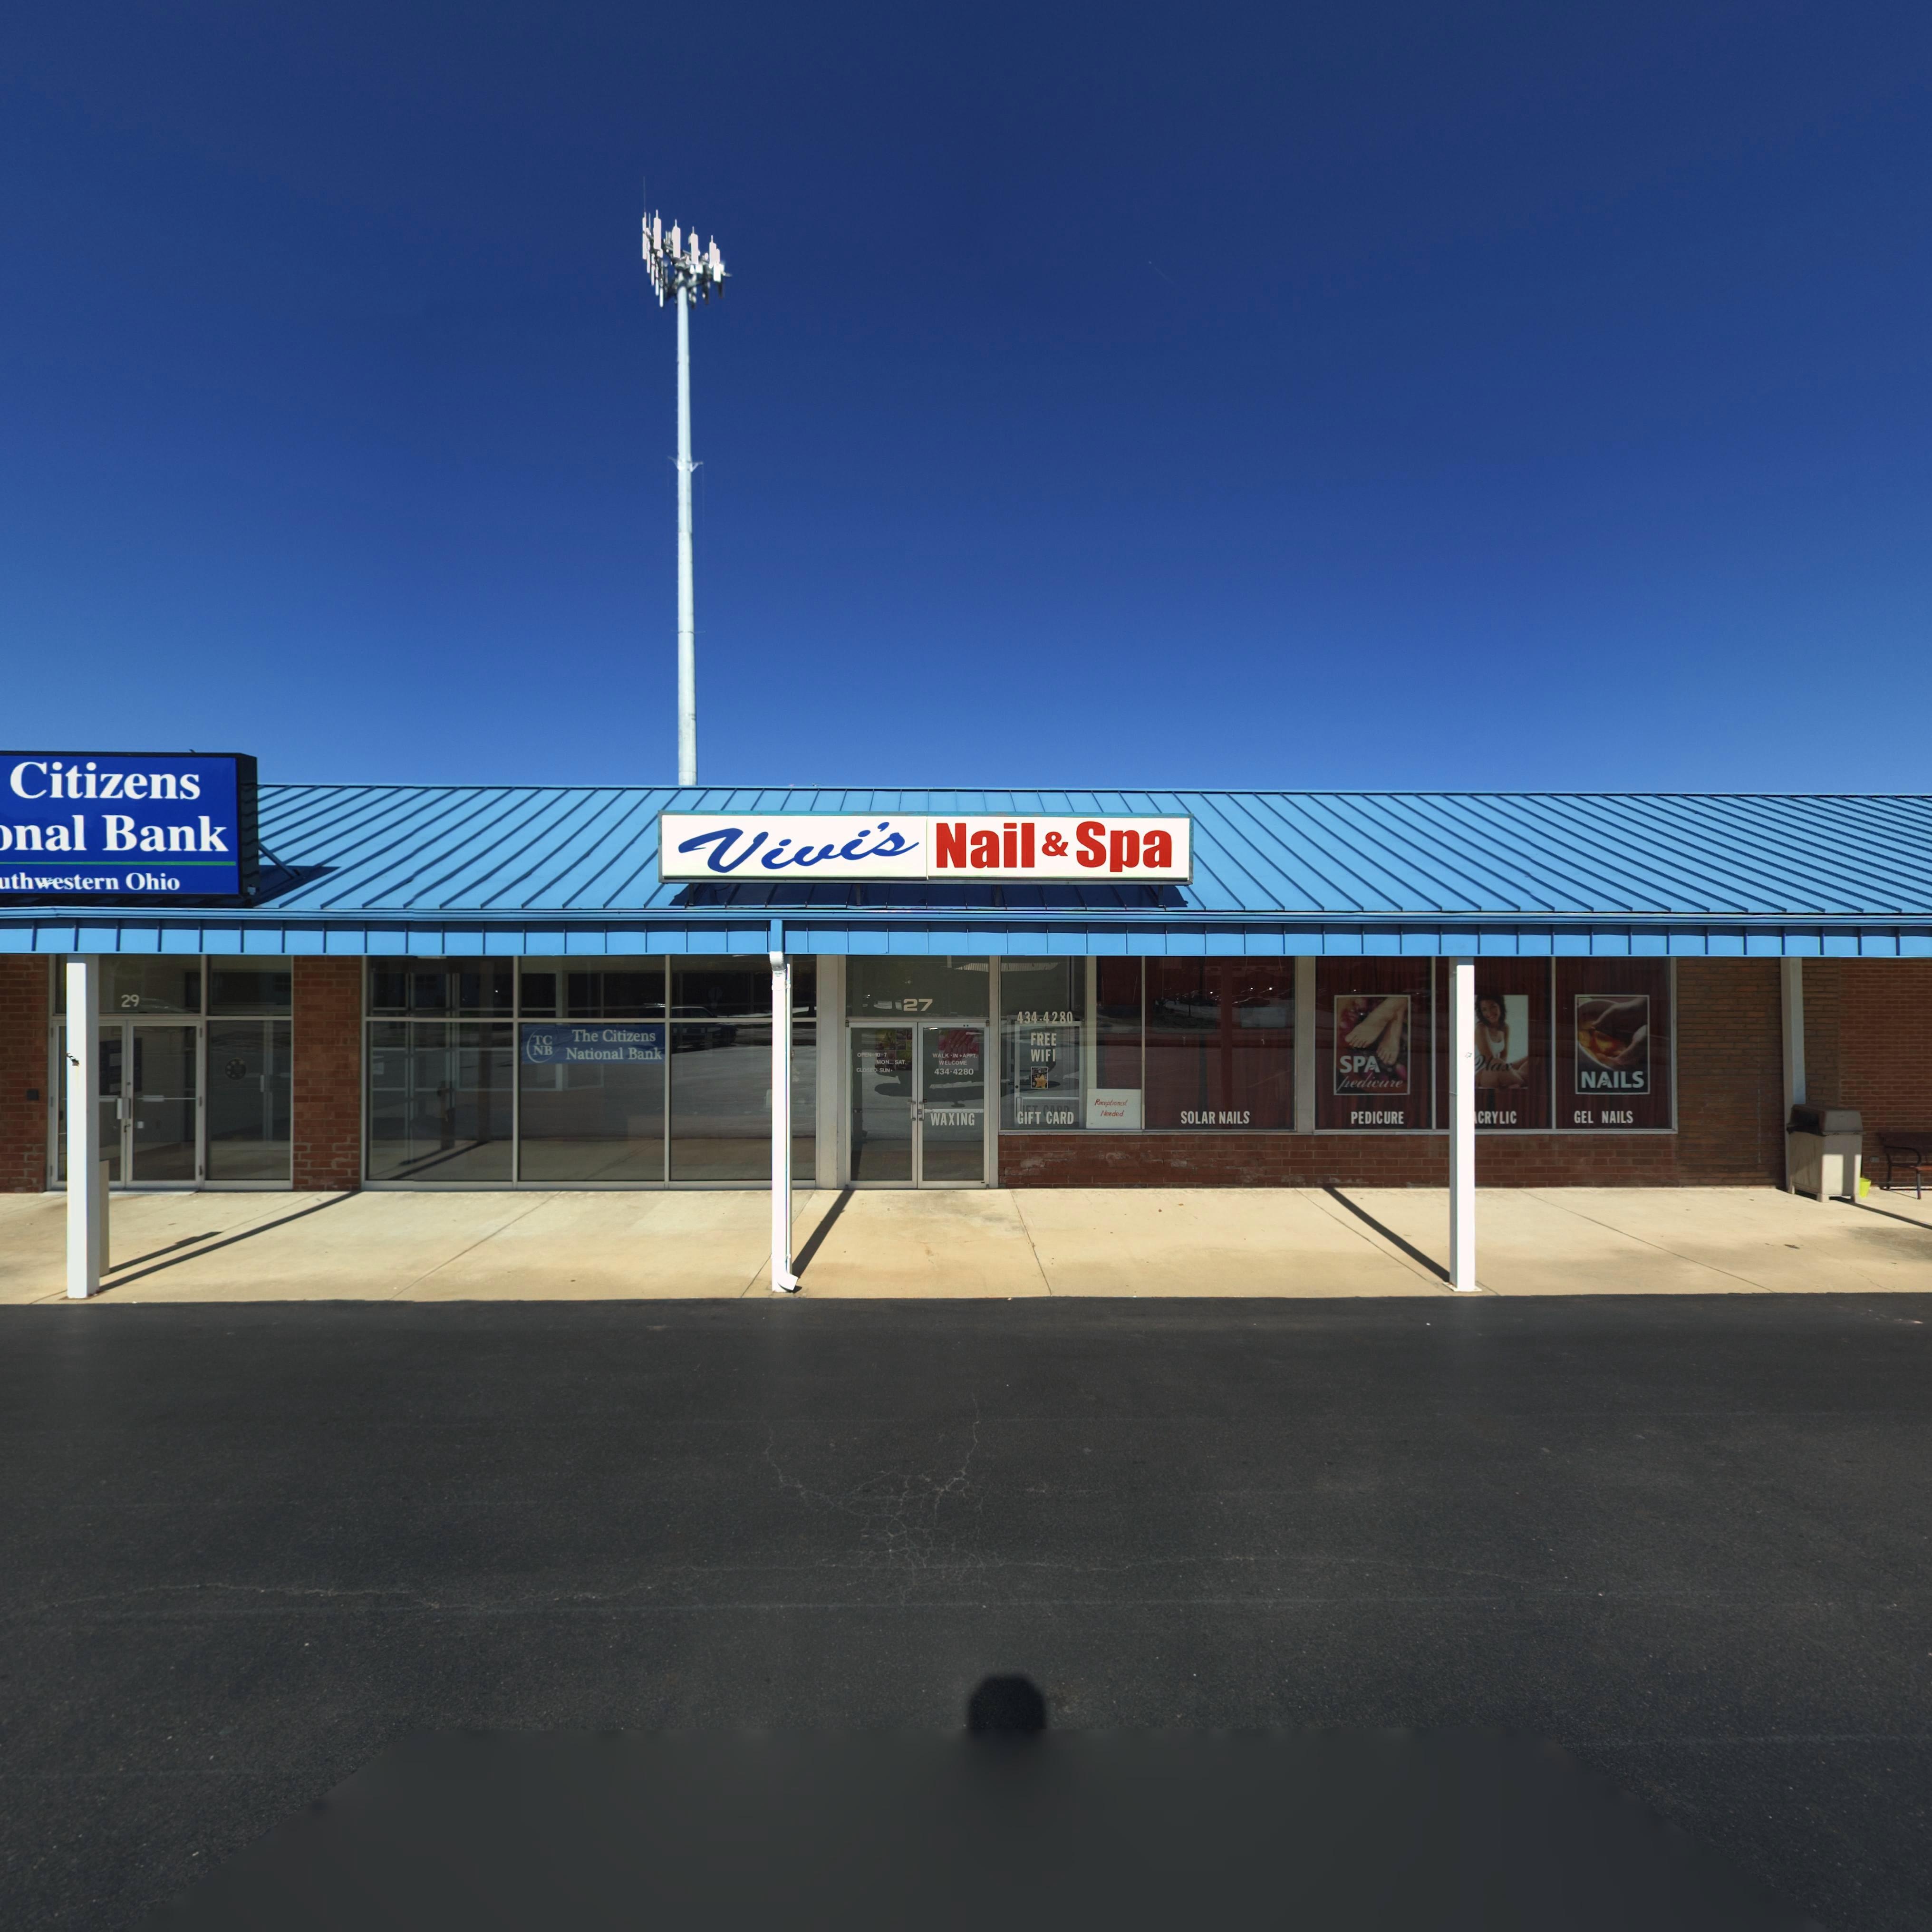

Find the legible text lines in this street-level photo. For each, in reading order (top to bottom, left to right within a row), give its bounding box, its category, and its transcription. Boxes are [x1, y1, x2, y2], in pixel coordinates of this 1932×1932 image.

[8, 759, 202, 802] BusinessName: Citizens
[11, 813, 231, 852] BusinessName: nal Bank
[676, 820, 1174, 875] BusinessName: Vivi's Nail & Spa
[9, 870, 181, 891] BusinessName: thwestern Ohio
[120, 993, 141, 1008] StreetNumber: 29
[902, 998, 934, 1013] StreetNumber: 27
[1015, 1011, 1074, 1025] None: 434-4280
[532, 1034, 553, 1046] None: TC
[570, 1029, 657, 1043] BusinessName: The Citizens
[1030, 1032, 1057, 1047] None: FREE
[532, 1045, 554, 1056] None: NB
[564, 1046, 663, 1060] BusinessName: National Bank
[856, 1052, 888, 1058] None: OPEN: 10-7
[855, 1067, 891, 1073] None: CLOSED: SUN
[875, 1059, 890, 1065] None: MON
[894, 1059, 906, 1065] None: SAT.
[938, 1060, 967, 1065] None: WELCOME
[933, 1068, 975, 1075] None: 434-4280
[931, 1053, 977, 1058] None: WALK-IN + APPT.
[1030, 1048, 1056, 1063] None: WIFI
[1339, 1055, 1382, 1074] None: SPA
[1473, 1053, 1515, 1072] None: Wax
[1334, 1075, 1404, 1092] None: pedicure
[1580, 1070, 1645, 1089] None: NAILS
[1093, 1098, 1130, 1108] None: Receptionist
[929, 1112, 976, 1127] None: WAXING
[1016, 1111, 1074, 1125] None: GIFT CARD
[1099, 1110, 1125, 1118] None: Needed
[1179, 1110, 1251, 1125] None: SOLAR NAILS
[1350, 1110, 1405, 1125] None: PEDICURE
[1477, 1110, 1517, 1125] None: CRYLIC
[1574, 1110, 1634, 1124] None: GEL NAILS